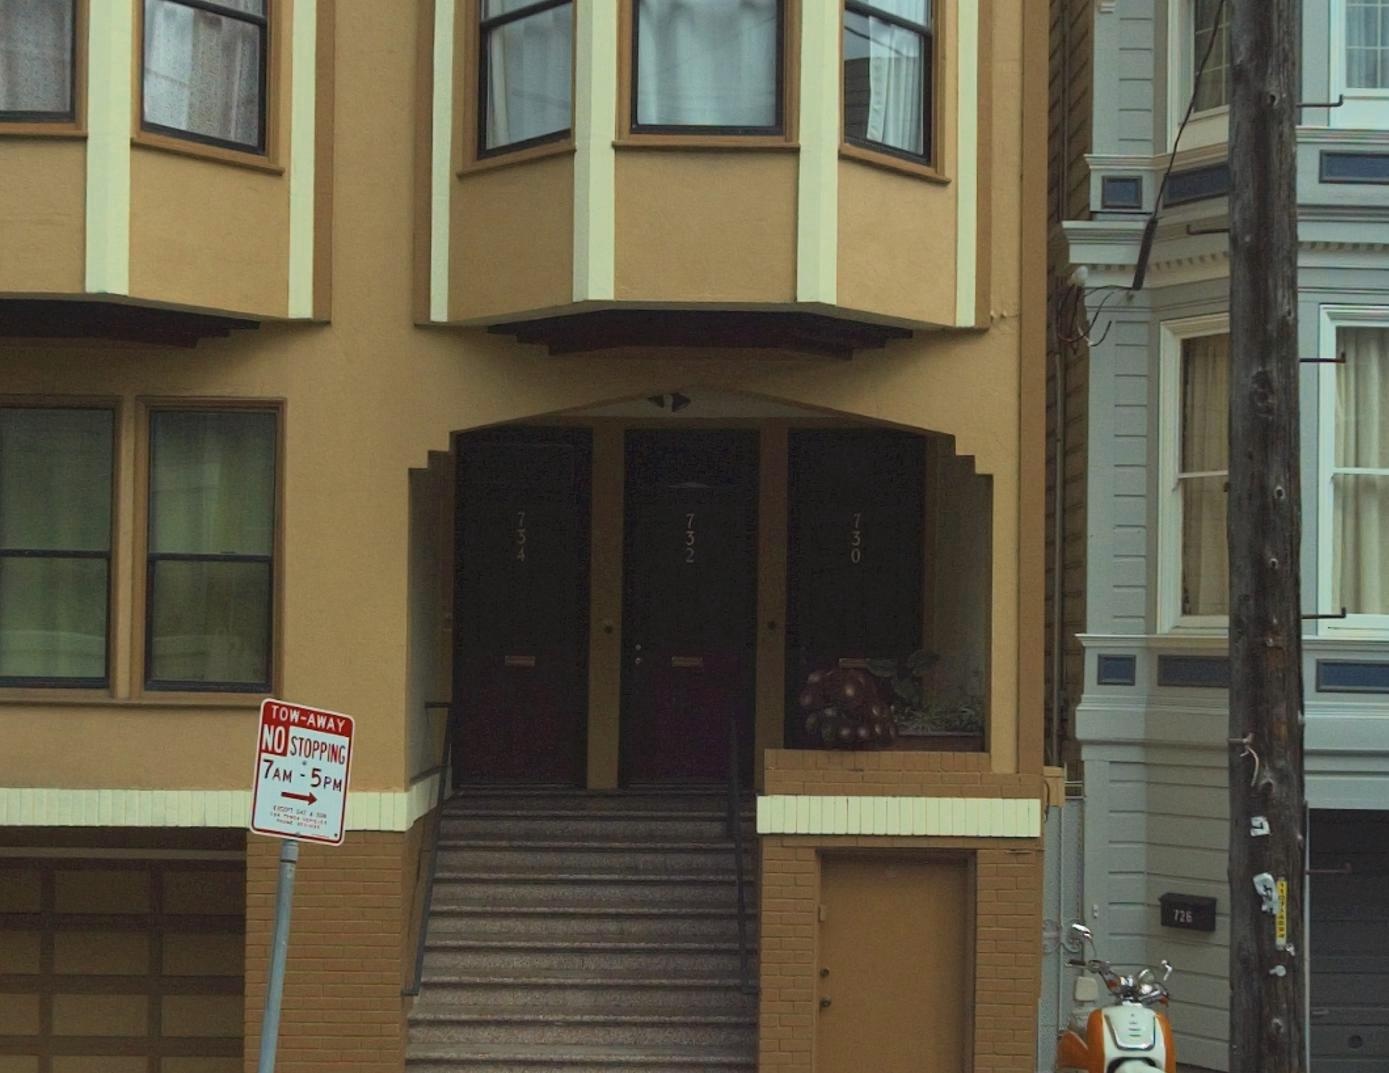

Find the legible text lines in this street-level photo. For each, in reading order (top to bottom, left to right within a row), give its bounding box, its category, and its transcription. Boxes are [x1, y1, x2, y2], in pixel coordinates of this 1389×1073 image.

[515, 507, 529, 563] StreetNumber: 734
[684, 512, 697, 564] StreetNumber: 732
[850, 510, 863, 564] StreetNumber: 730
[269, 702, 347, 734] None: TOW-AWAY
[260, 721, 287, 756] None: NO
[288, 733, 347, 767] None: STOPPING
[261, 756, 276, 780] None: 7
[269, 764, 293, 784] None: AM
[308, 765, 324, 789] None: 5
[322, 774, 343, 794] None: PM
[1171, 907, 1195, 925] StreetNumber: 726